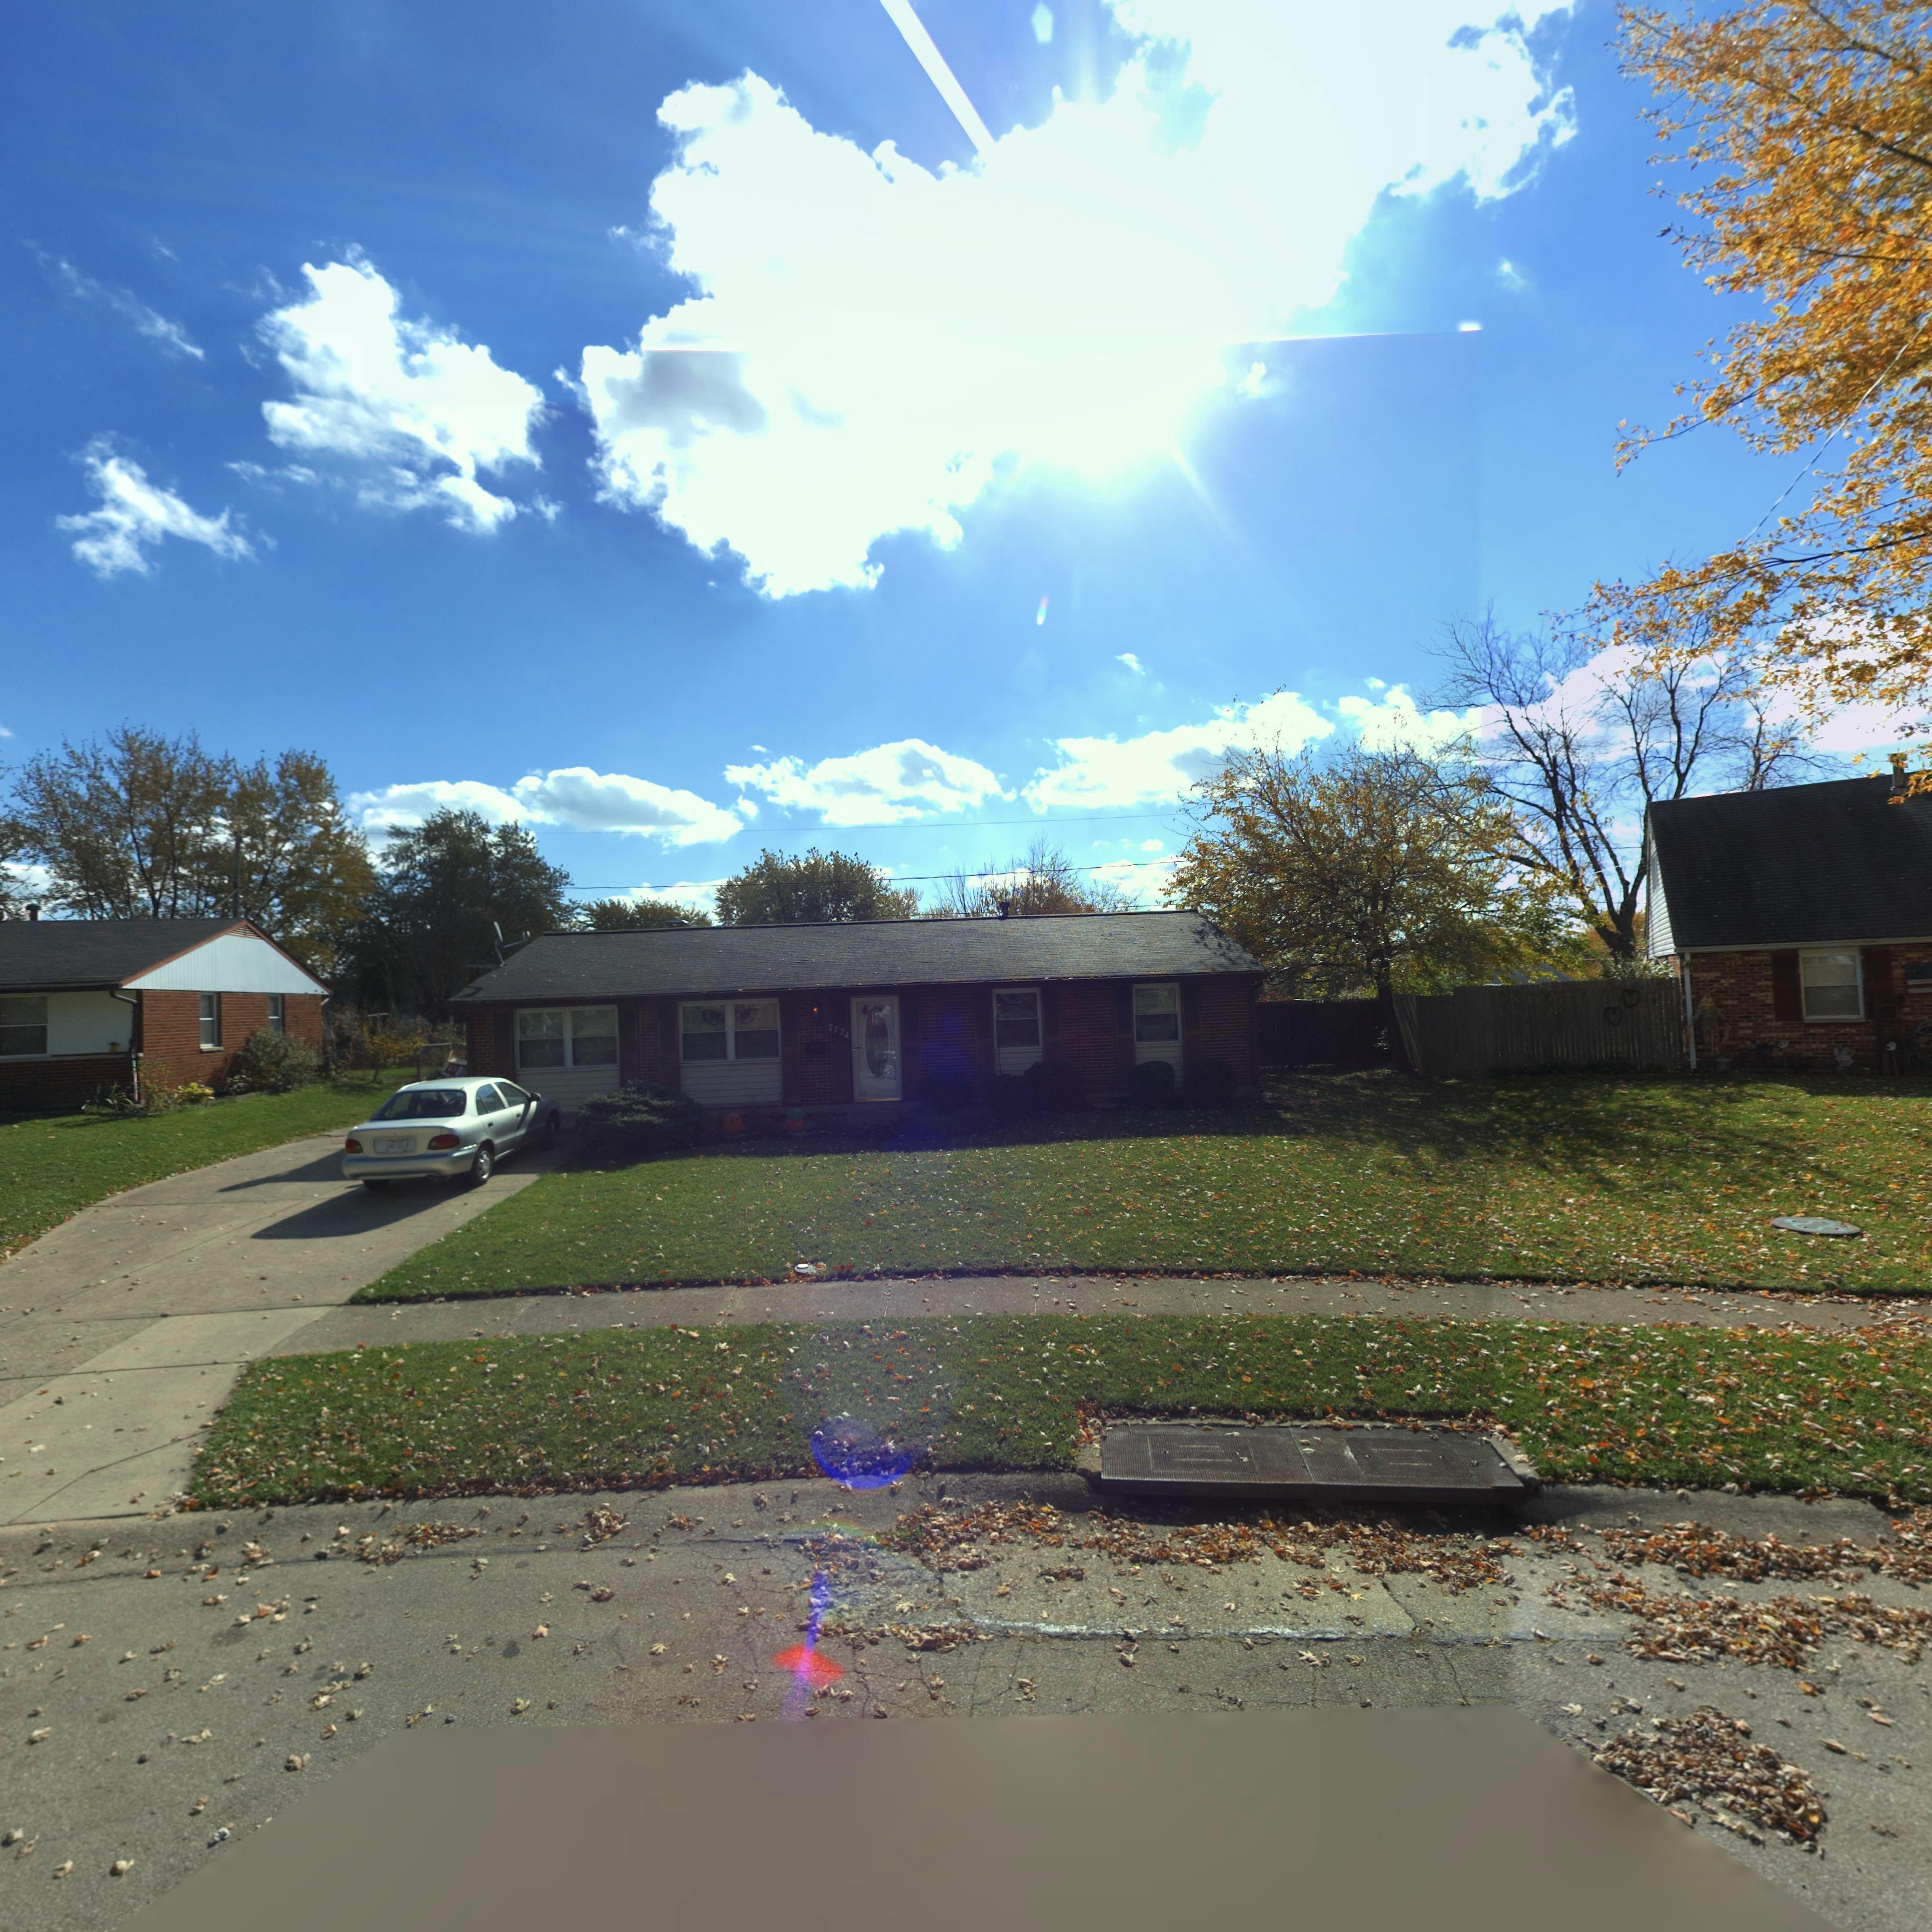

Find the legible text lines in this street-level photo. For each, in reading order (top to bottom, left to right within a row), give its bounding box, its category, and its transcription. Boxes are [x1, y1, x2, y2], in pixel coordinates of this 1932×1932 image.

[829, 1024, 849, 1039] StreetNumber: 7724